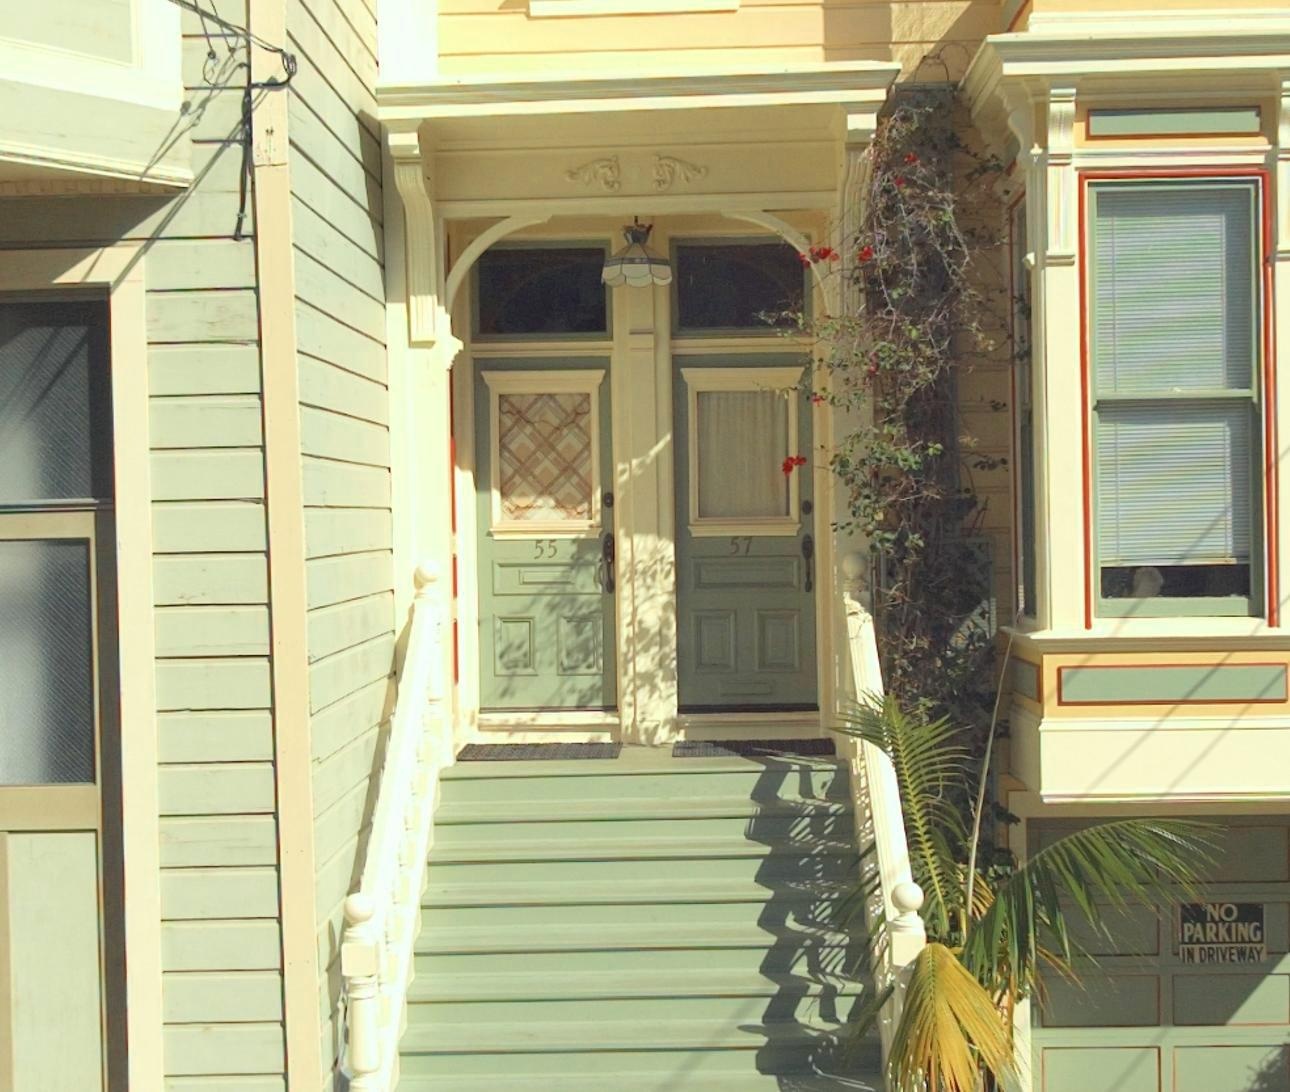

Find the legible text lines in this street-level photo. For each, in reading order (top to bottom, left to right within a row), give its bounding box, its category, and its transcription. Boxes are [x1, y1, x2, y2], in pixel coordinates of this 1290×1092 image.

[533, 538, 559, 561] StreetNumber: 55
[729, 535, 755, 556] StreetNumber: 57
[1205, 902, 1239, 923] None: NO
[1182, 921, 1263, 943] None: PARKING
[1181, 945, 1265, 965] None: IN DRIVEWAY